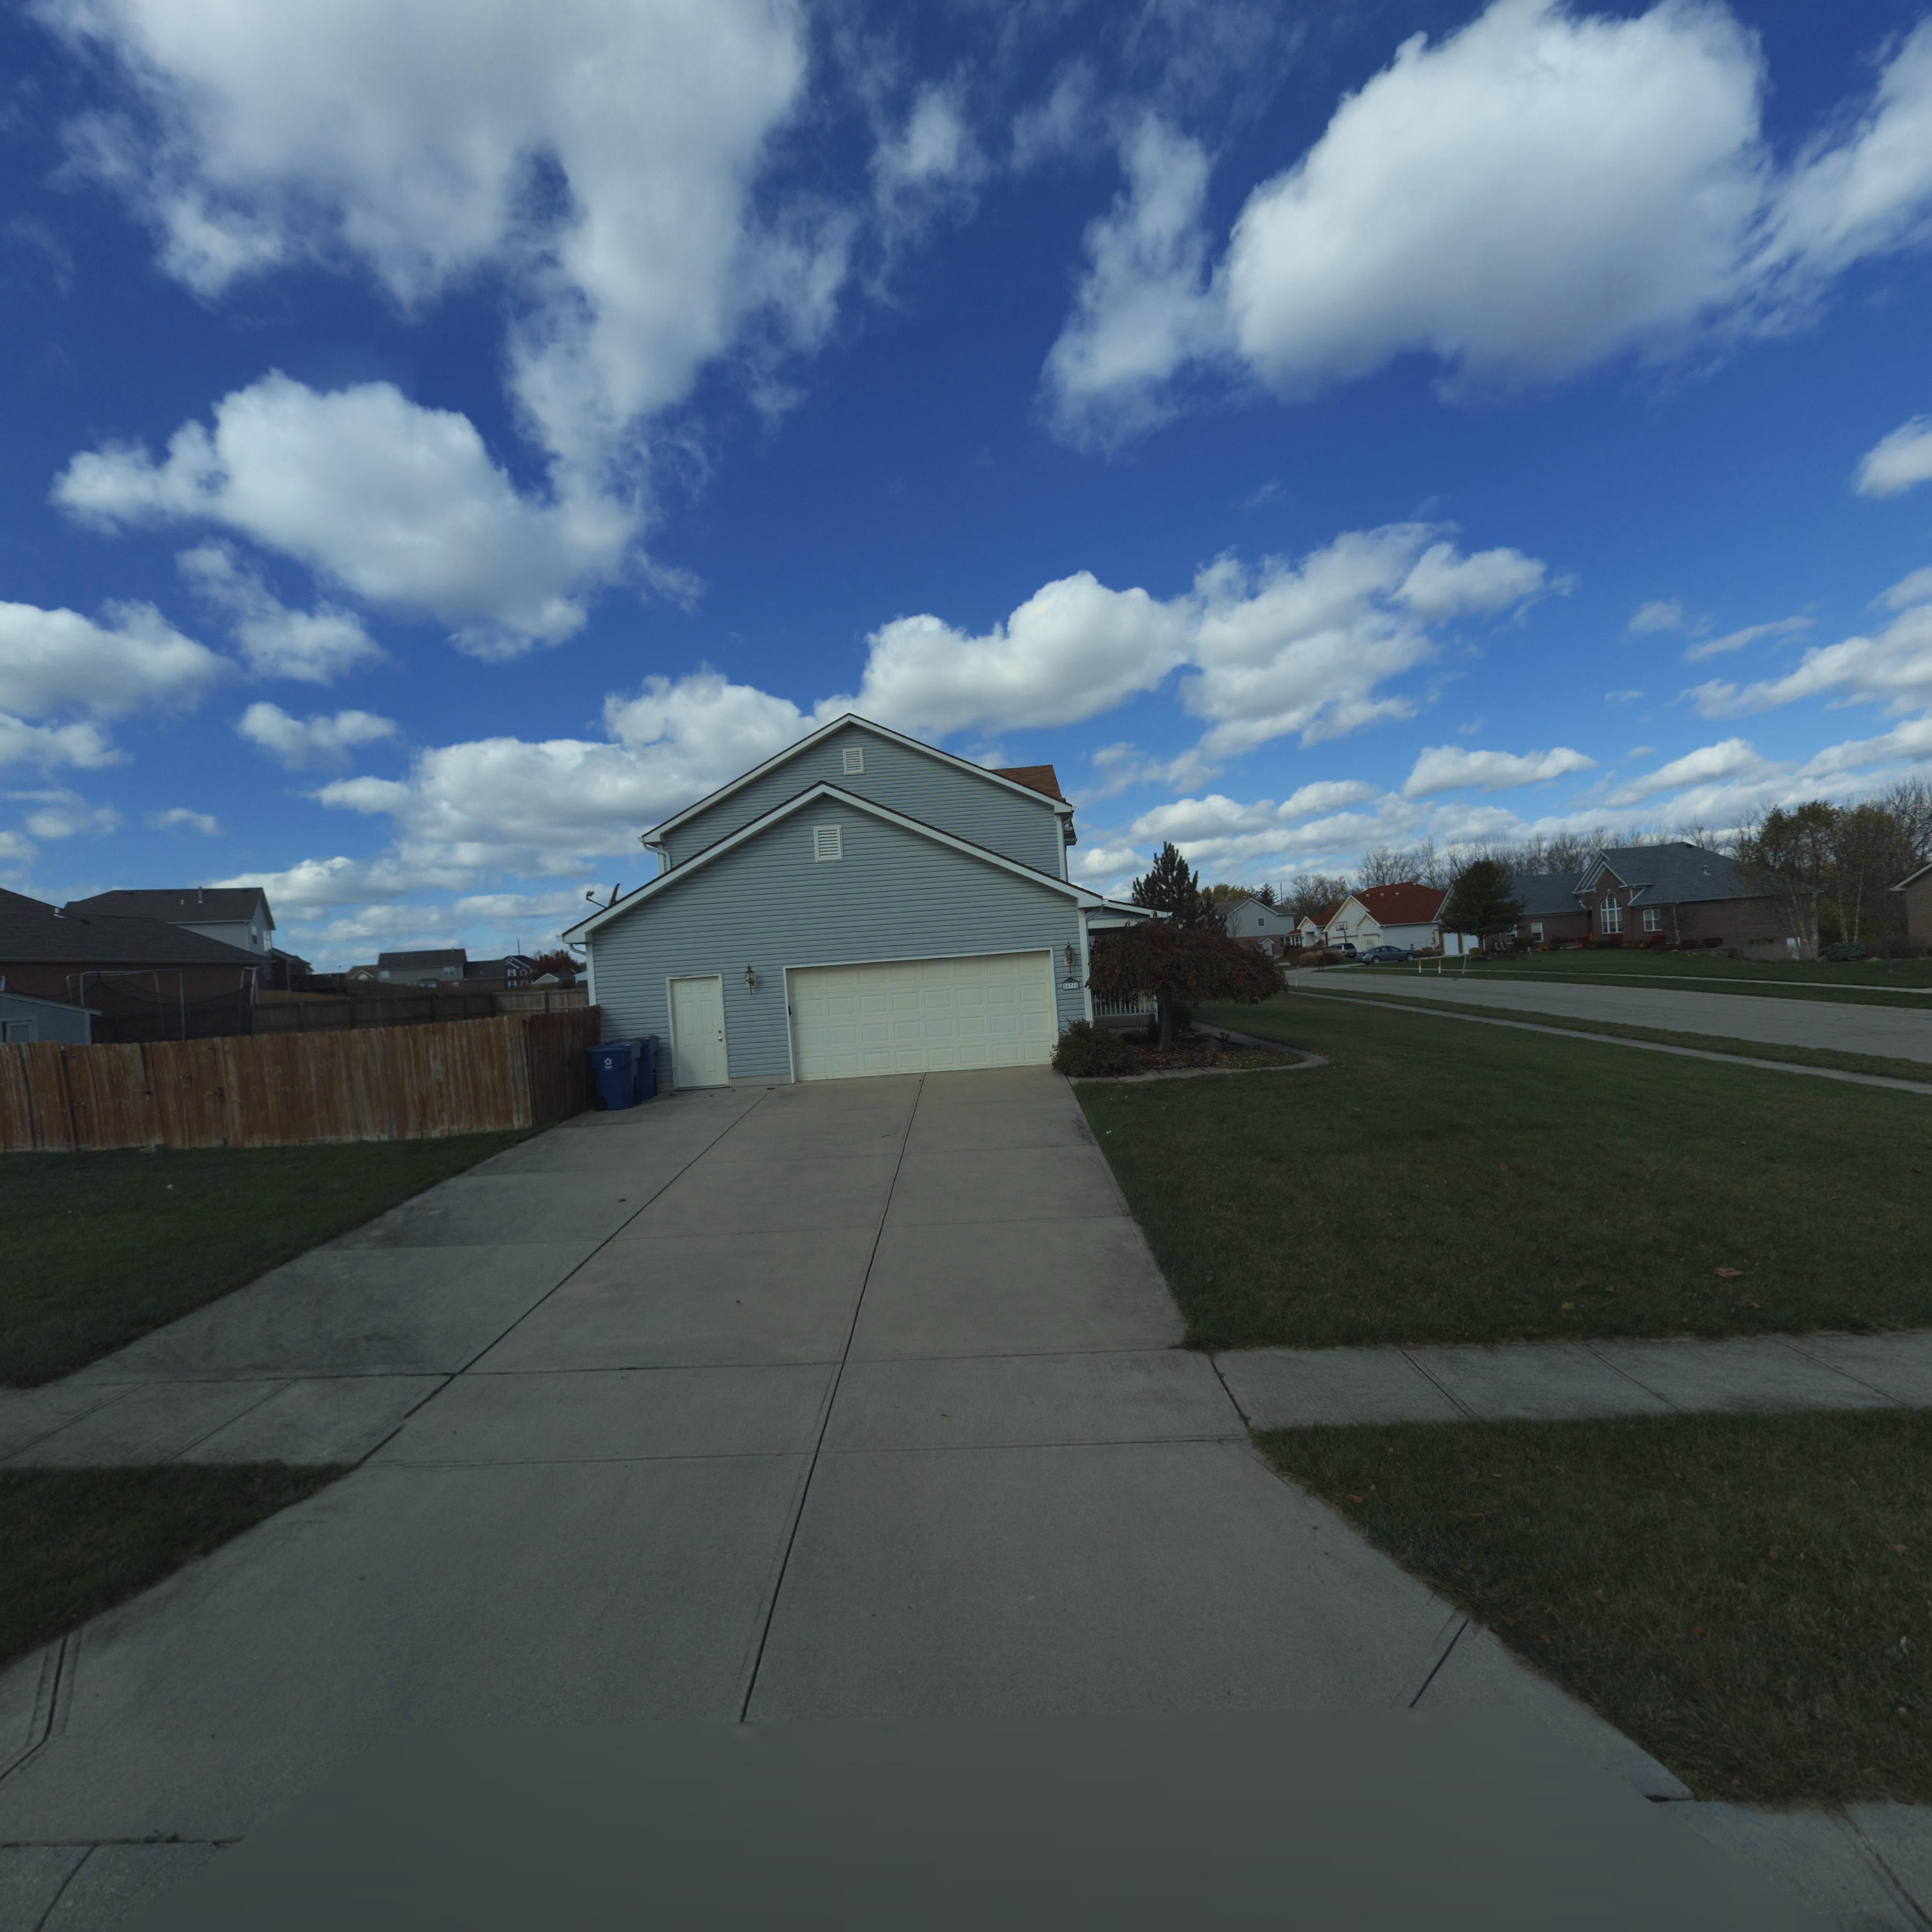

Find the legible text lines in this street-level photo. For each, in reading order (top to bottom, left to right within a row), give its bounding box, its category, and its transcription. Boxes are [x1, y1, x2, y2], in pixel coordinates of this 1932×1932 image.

[1066, 983, 1075, 989] StreetNumber: 671